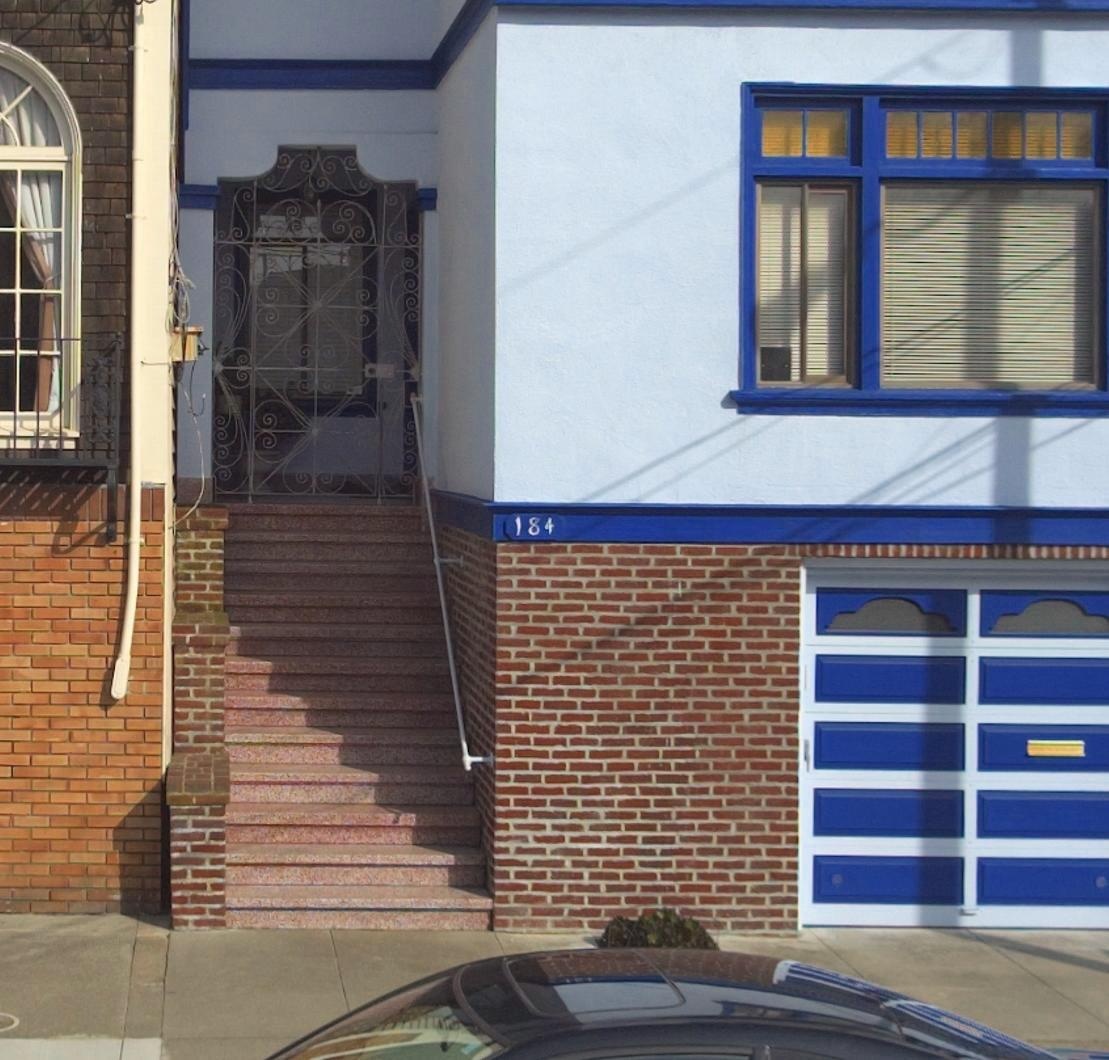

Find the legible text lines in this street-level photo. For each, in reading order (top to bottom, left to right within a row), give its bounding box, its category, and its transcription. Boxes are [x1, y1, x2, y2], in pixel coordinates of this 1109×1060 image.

[513, 512, 556, 538] StreetNumber: 184